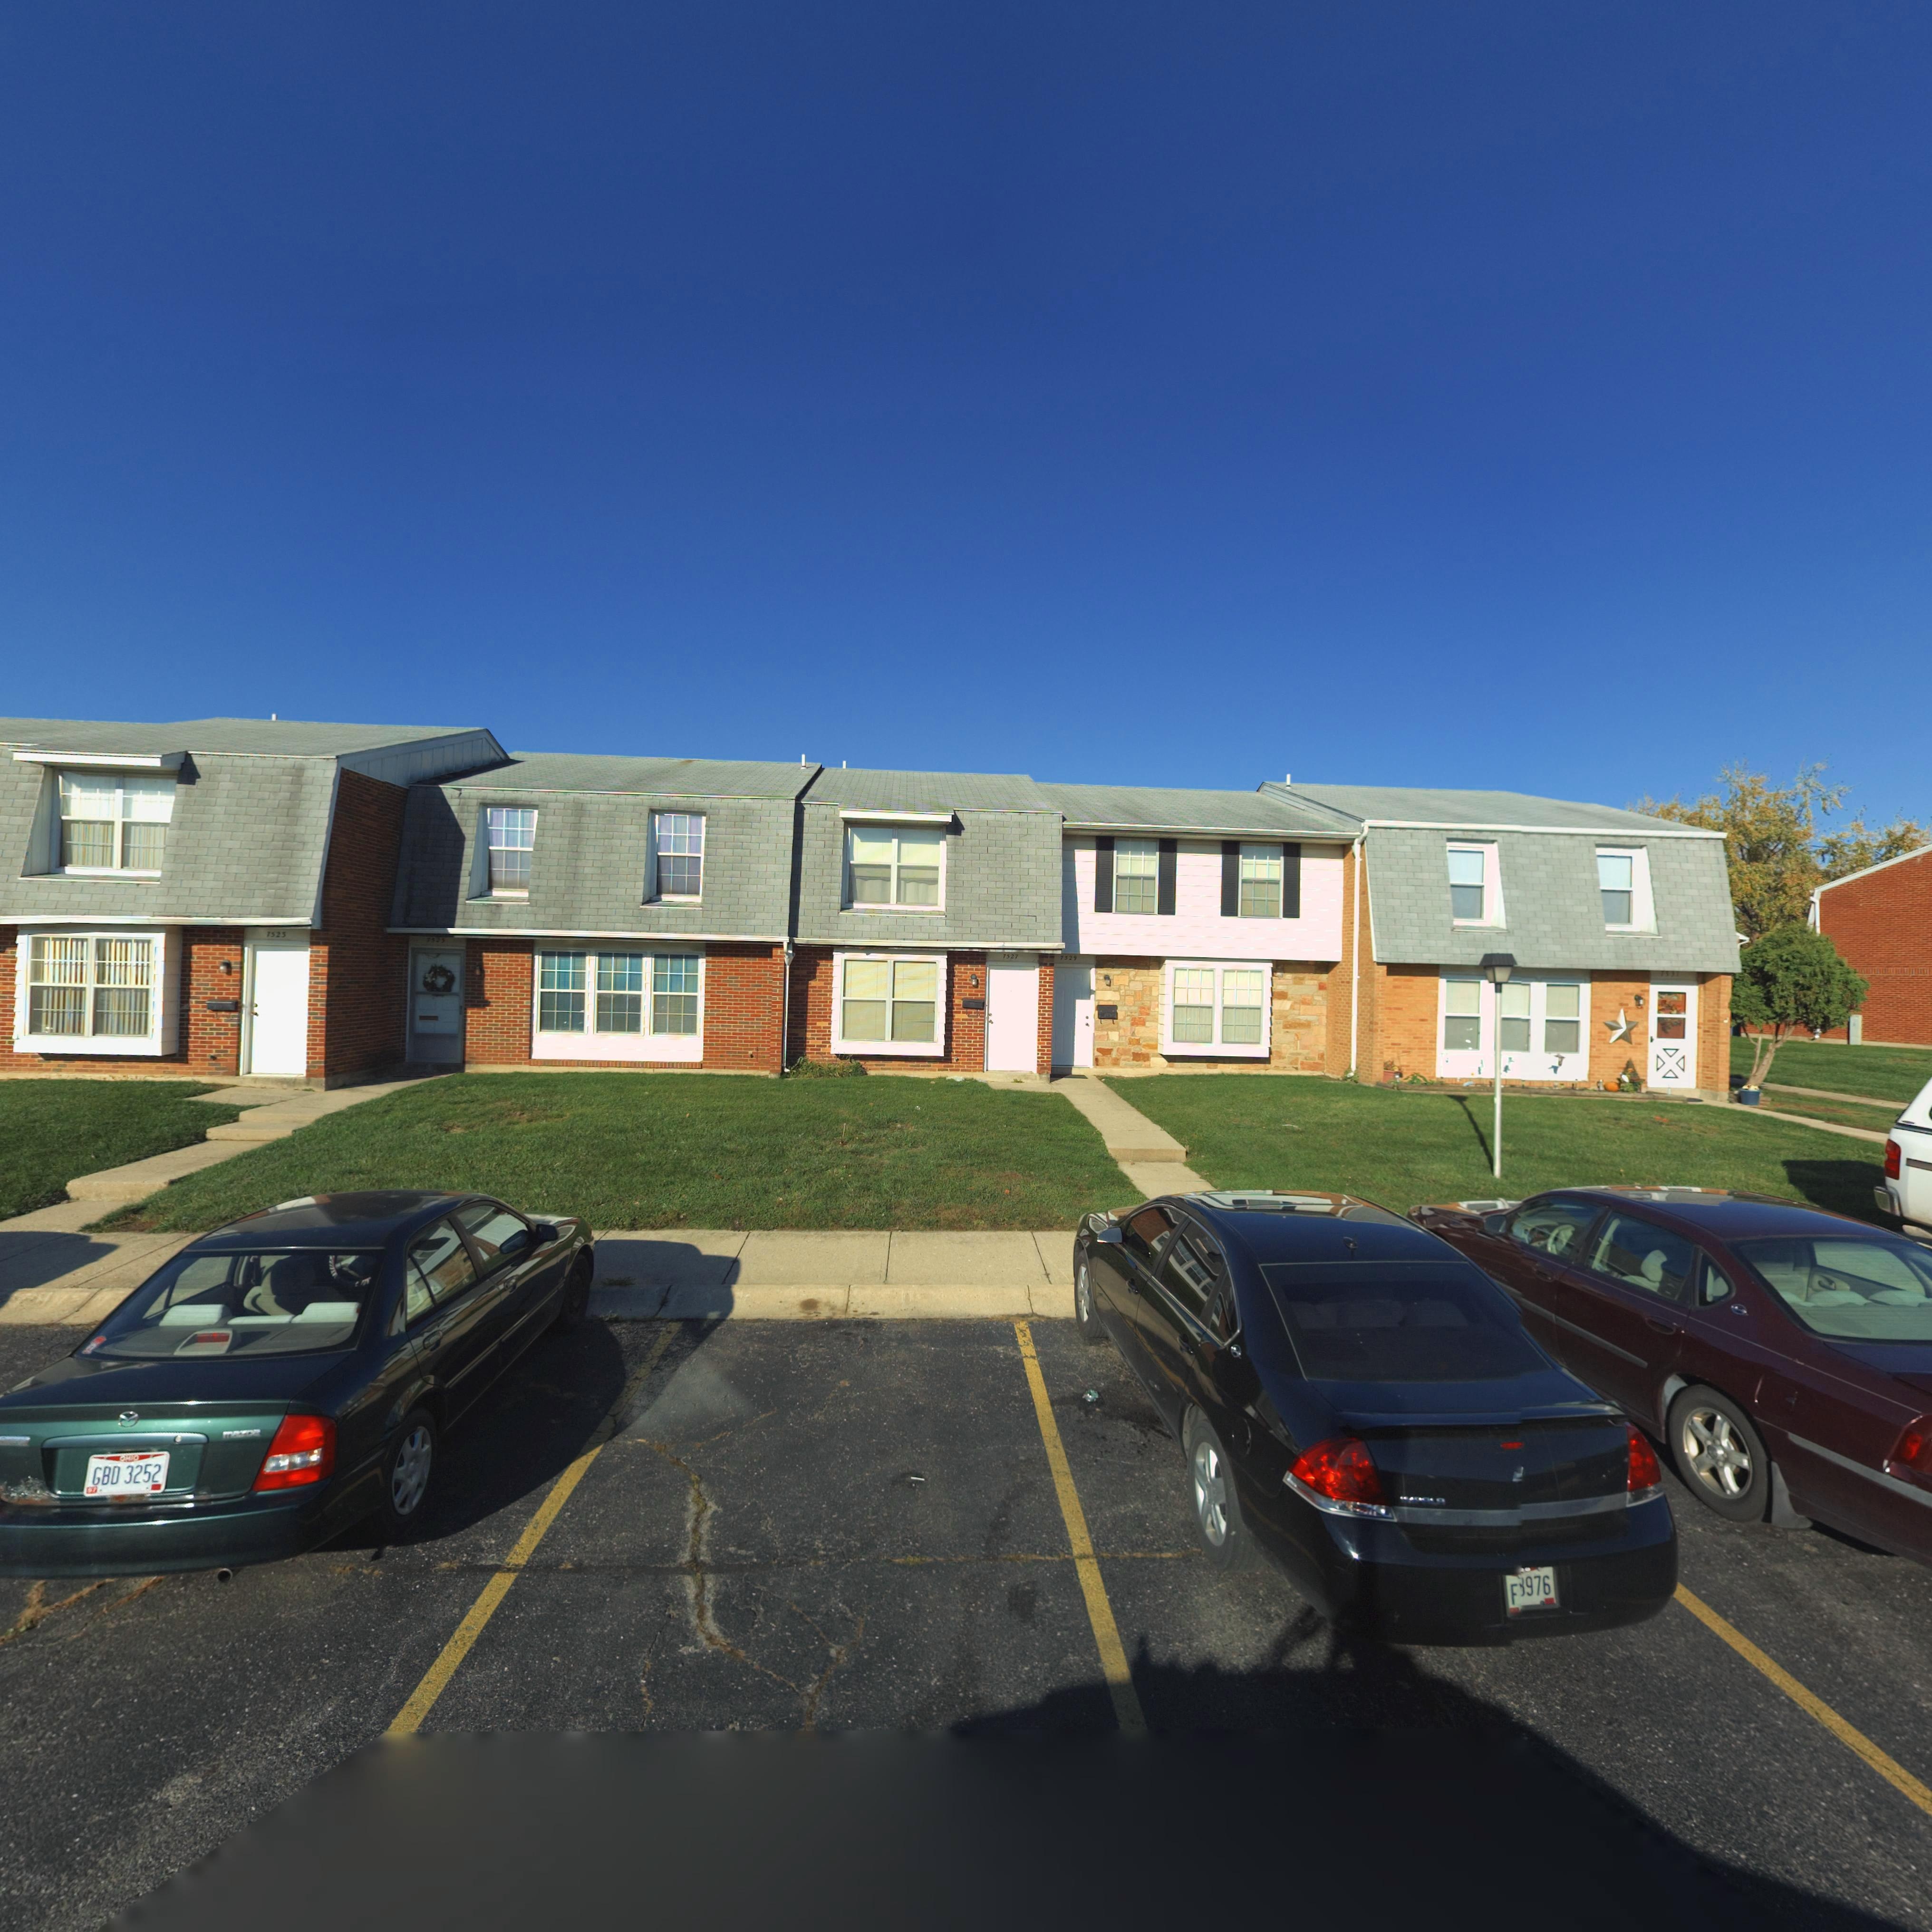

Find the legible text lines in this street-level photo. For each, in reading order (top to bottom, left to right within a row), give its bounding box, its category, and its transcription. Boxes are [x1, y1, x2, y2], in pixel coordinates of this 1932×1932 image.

[265, 931, 286, 937] StreetNumber: 7523
[426, 937, 446, 944] StreetNumber: 7525
[1002, 953, 1019, 959] StreetNumber: 7527
[1060, 955, 1077, 961] StreetNumber: 7529
[1660, 970, 1680, 977] StreetNumber: 7531